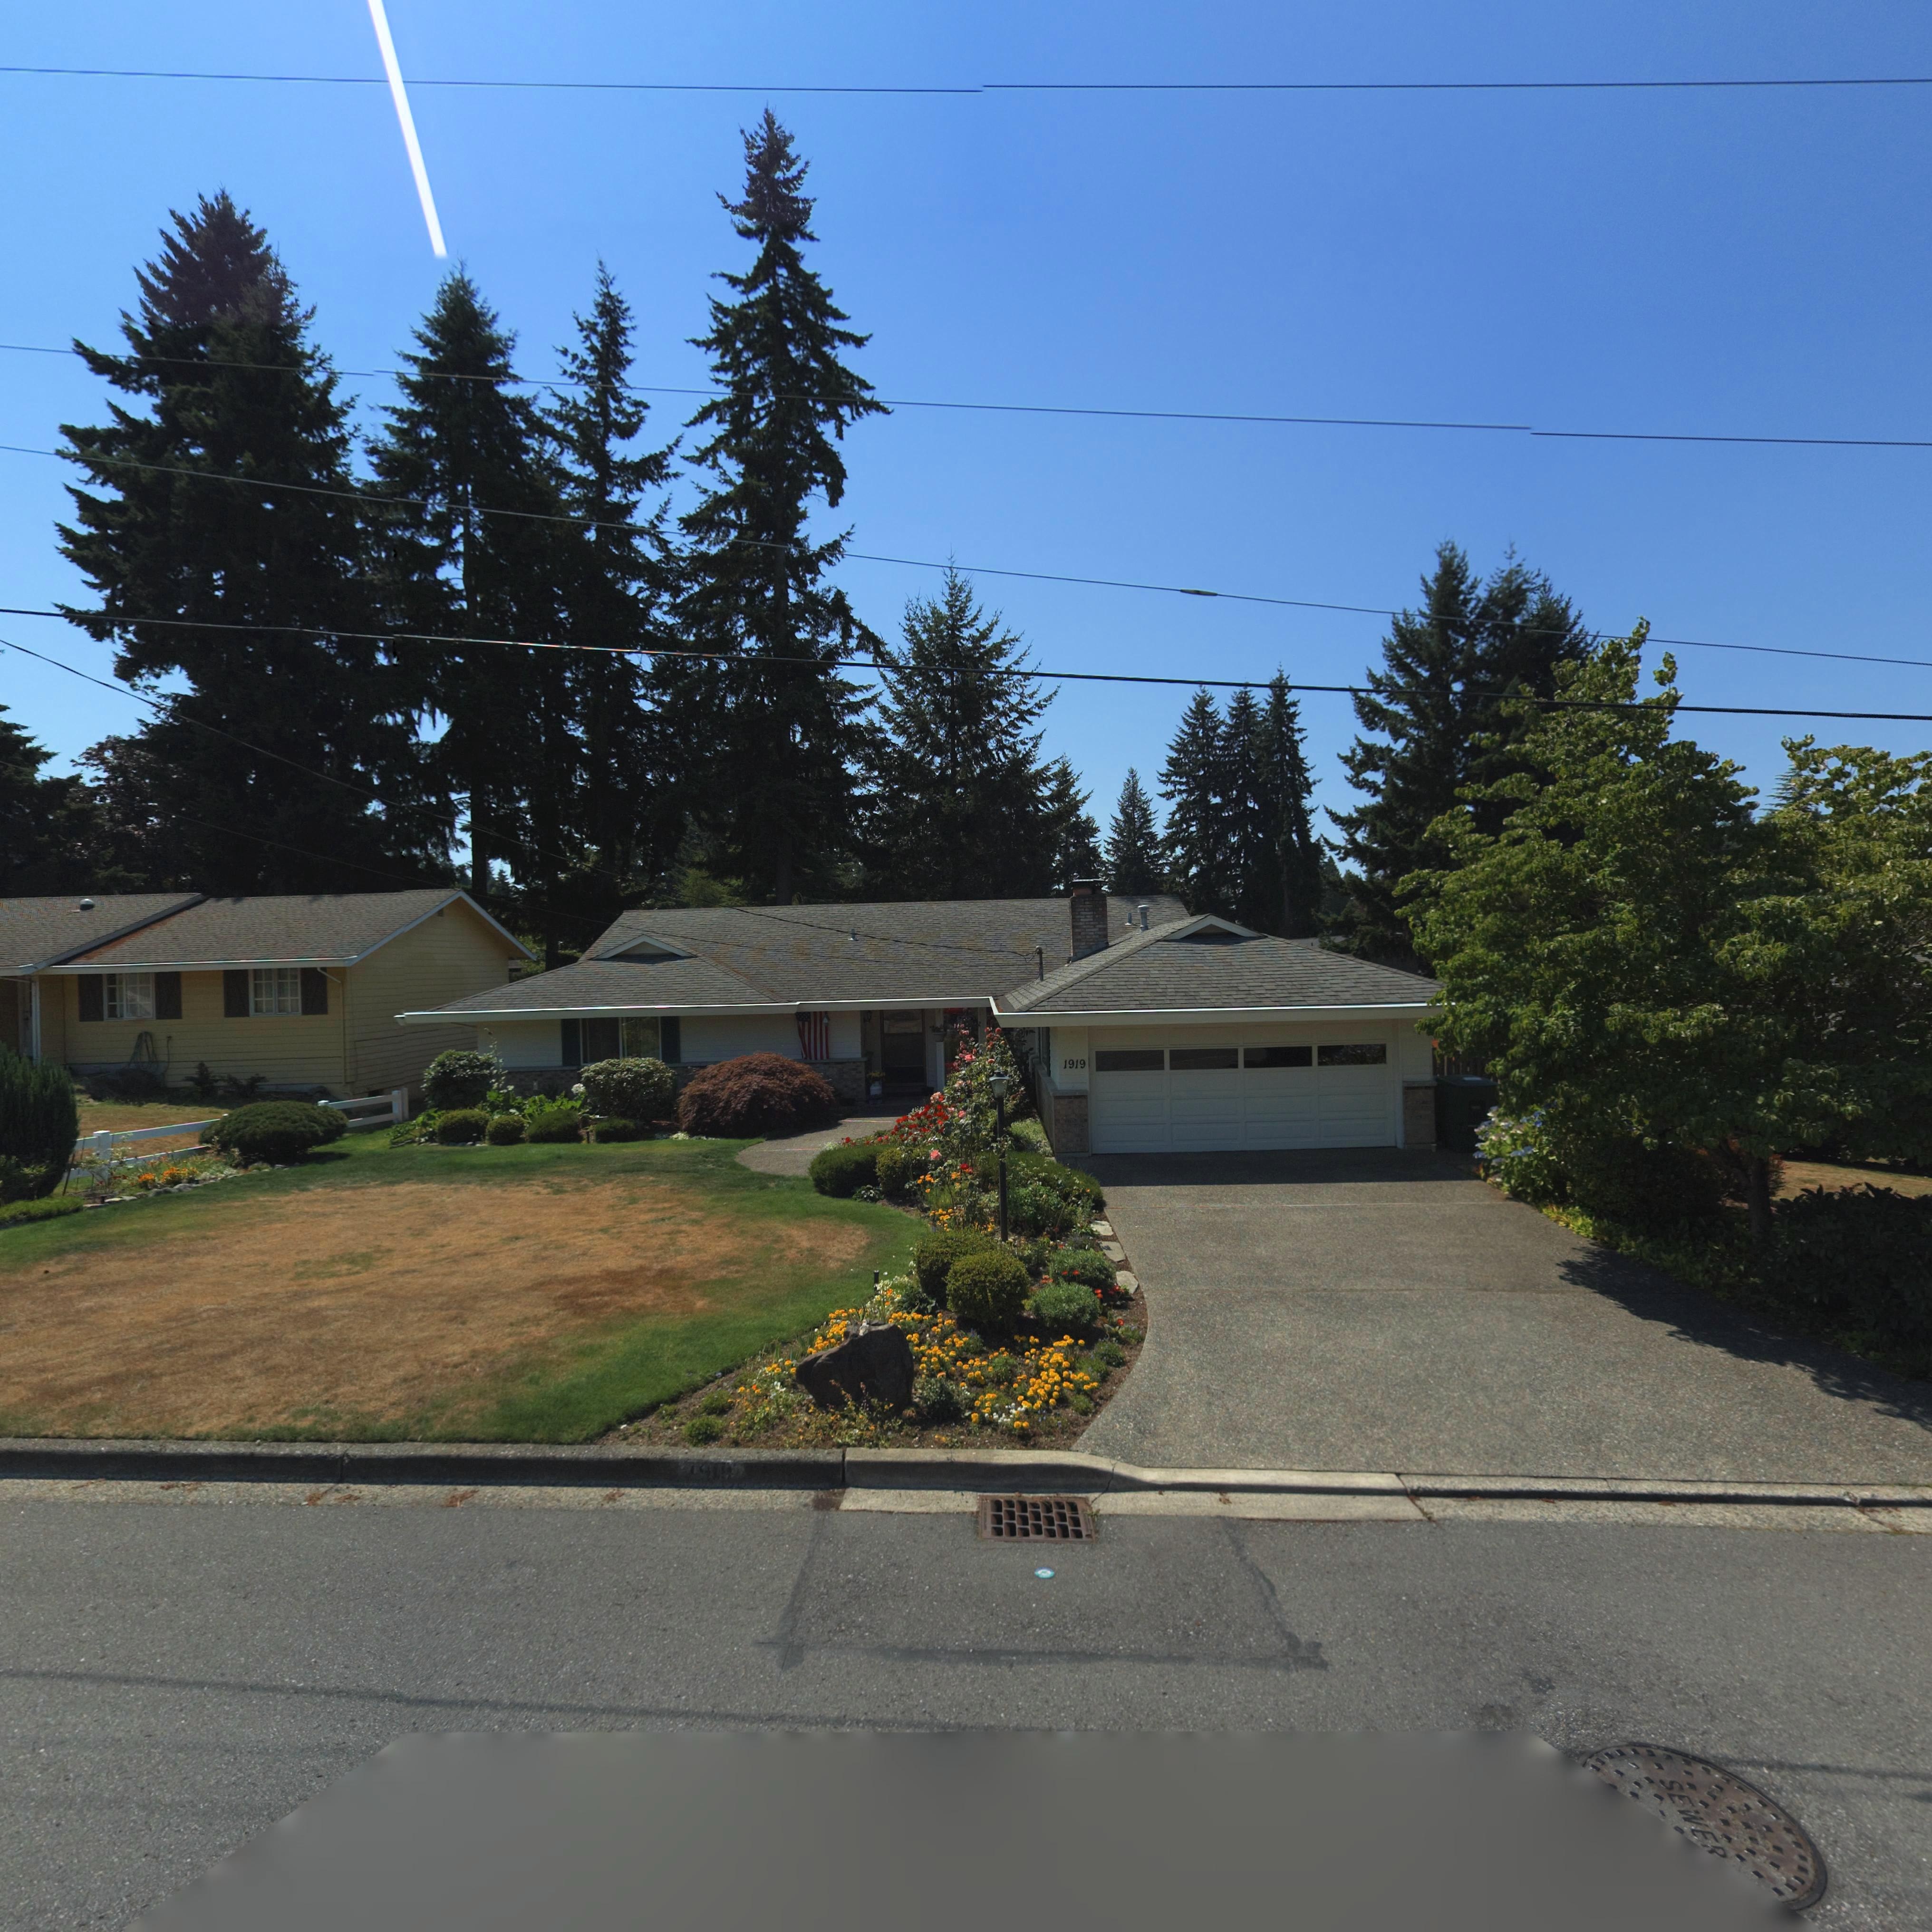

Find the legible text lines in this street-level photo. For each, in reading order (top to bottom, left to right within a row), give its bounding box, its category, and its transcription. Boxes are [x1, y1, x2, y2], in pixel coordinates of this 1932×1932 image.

[1063, 1058, 1086, 1069] StreetNumber: 1919